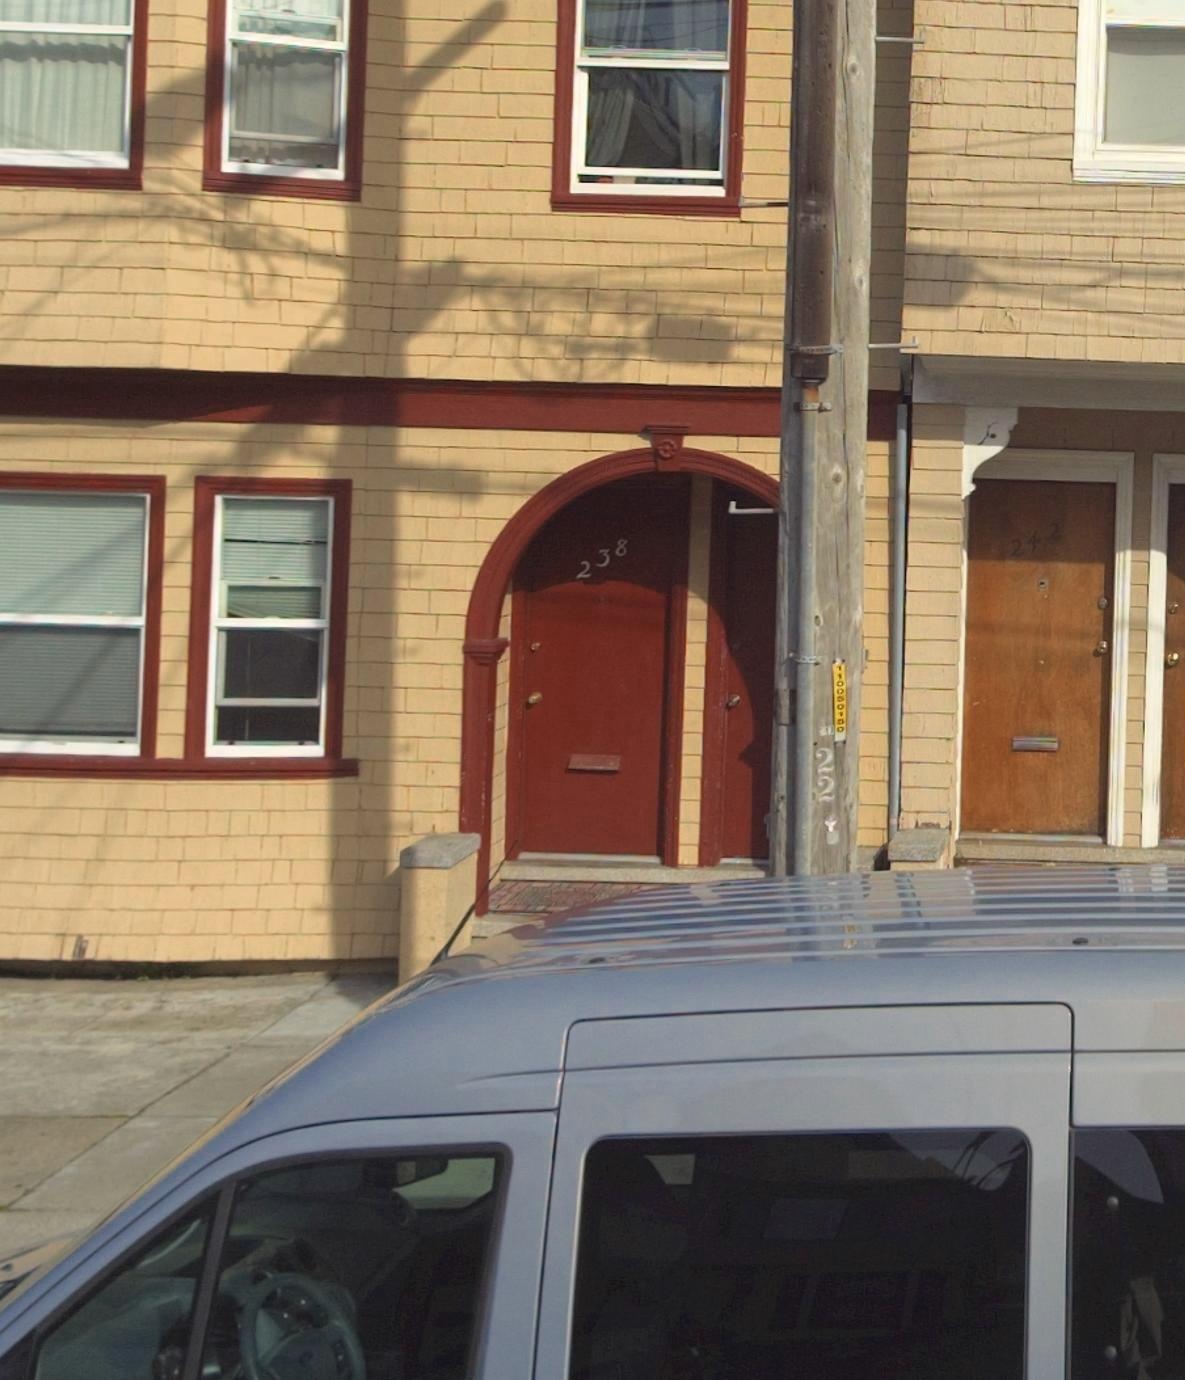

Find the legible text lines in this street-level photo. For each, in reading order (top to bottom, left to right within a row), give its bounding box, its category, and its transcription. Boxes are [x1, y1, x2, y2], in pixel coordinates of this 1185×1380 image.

[573, 535, 630, 581] StreetNumber: 238
[1008, 519, 1065, 558] StreetNumber: 242
[834, 662, 847, 734] None: 1100*01*0
[814, 743, 836, 804] None: 22